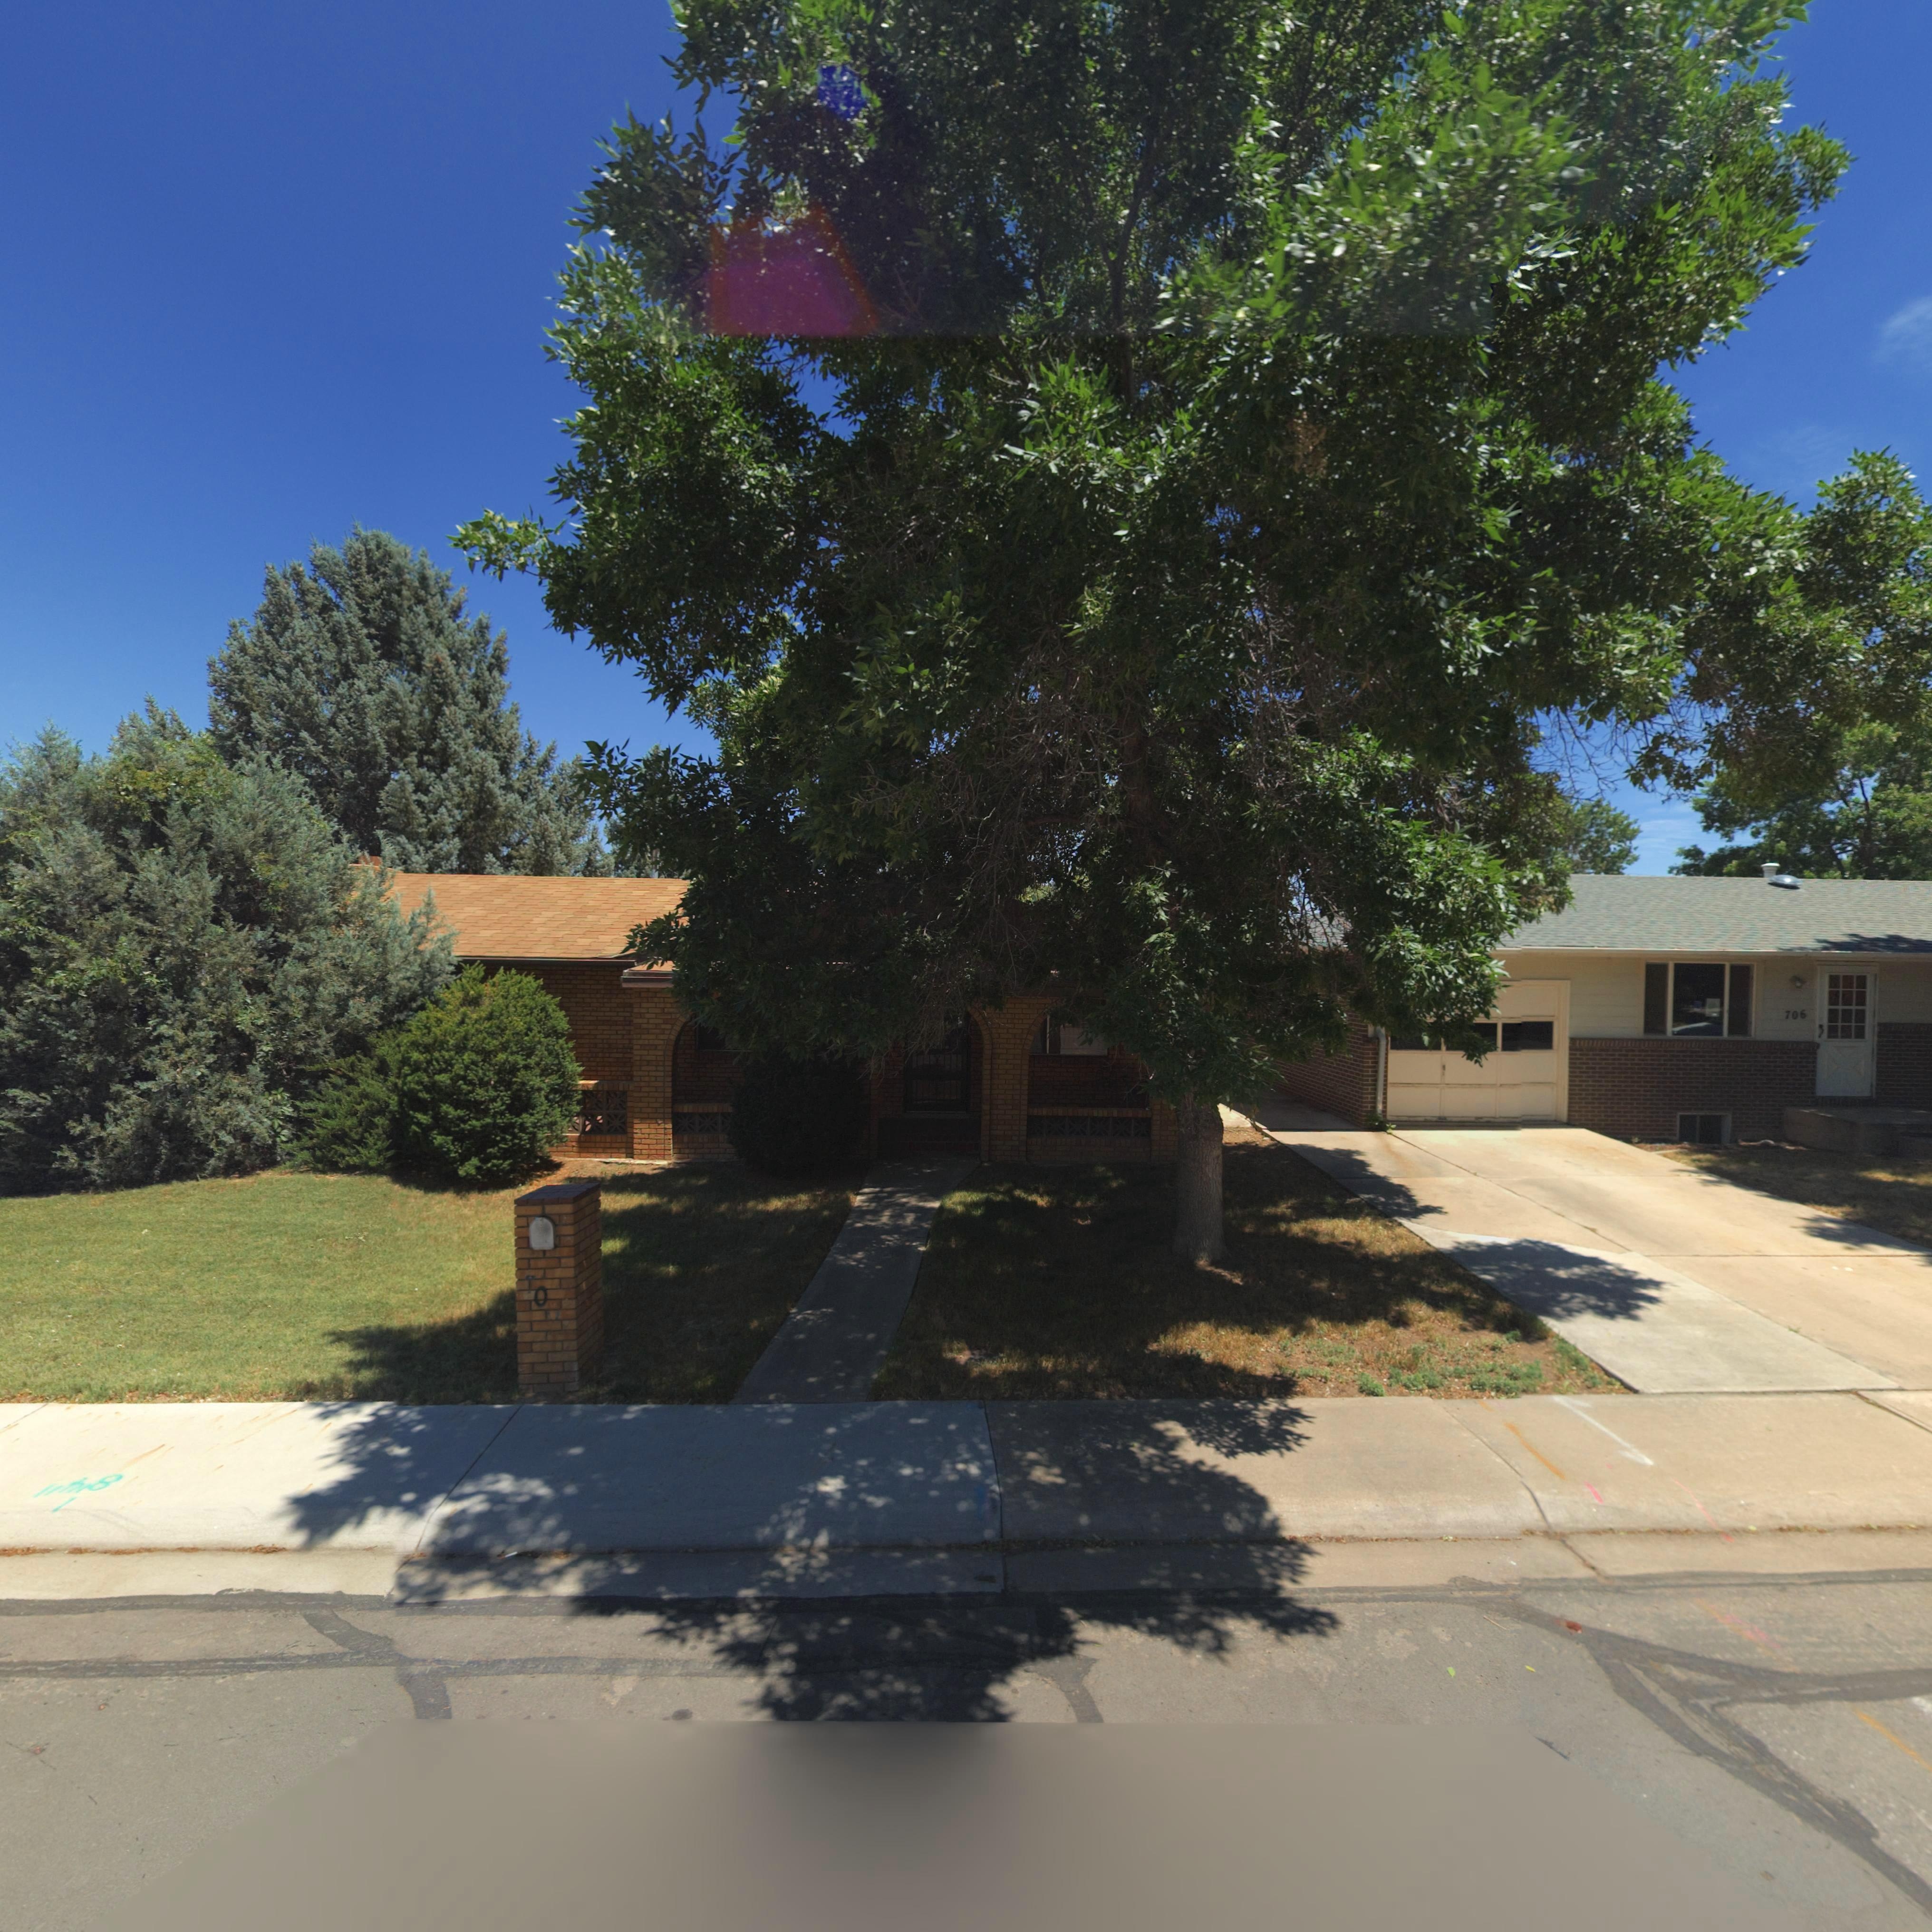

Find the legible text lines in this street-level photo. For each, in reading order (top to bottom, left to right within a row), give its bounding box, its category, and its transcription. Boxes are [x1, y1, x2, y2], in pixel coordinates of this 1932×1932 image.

[1784, 1009, 1806, 1020] StreetNumber: 706
[527, 1278, 548, 1308] StreetNumber: *0